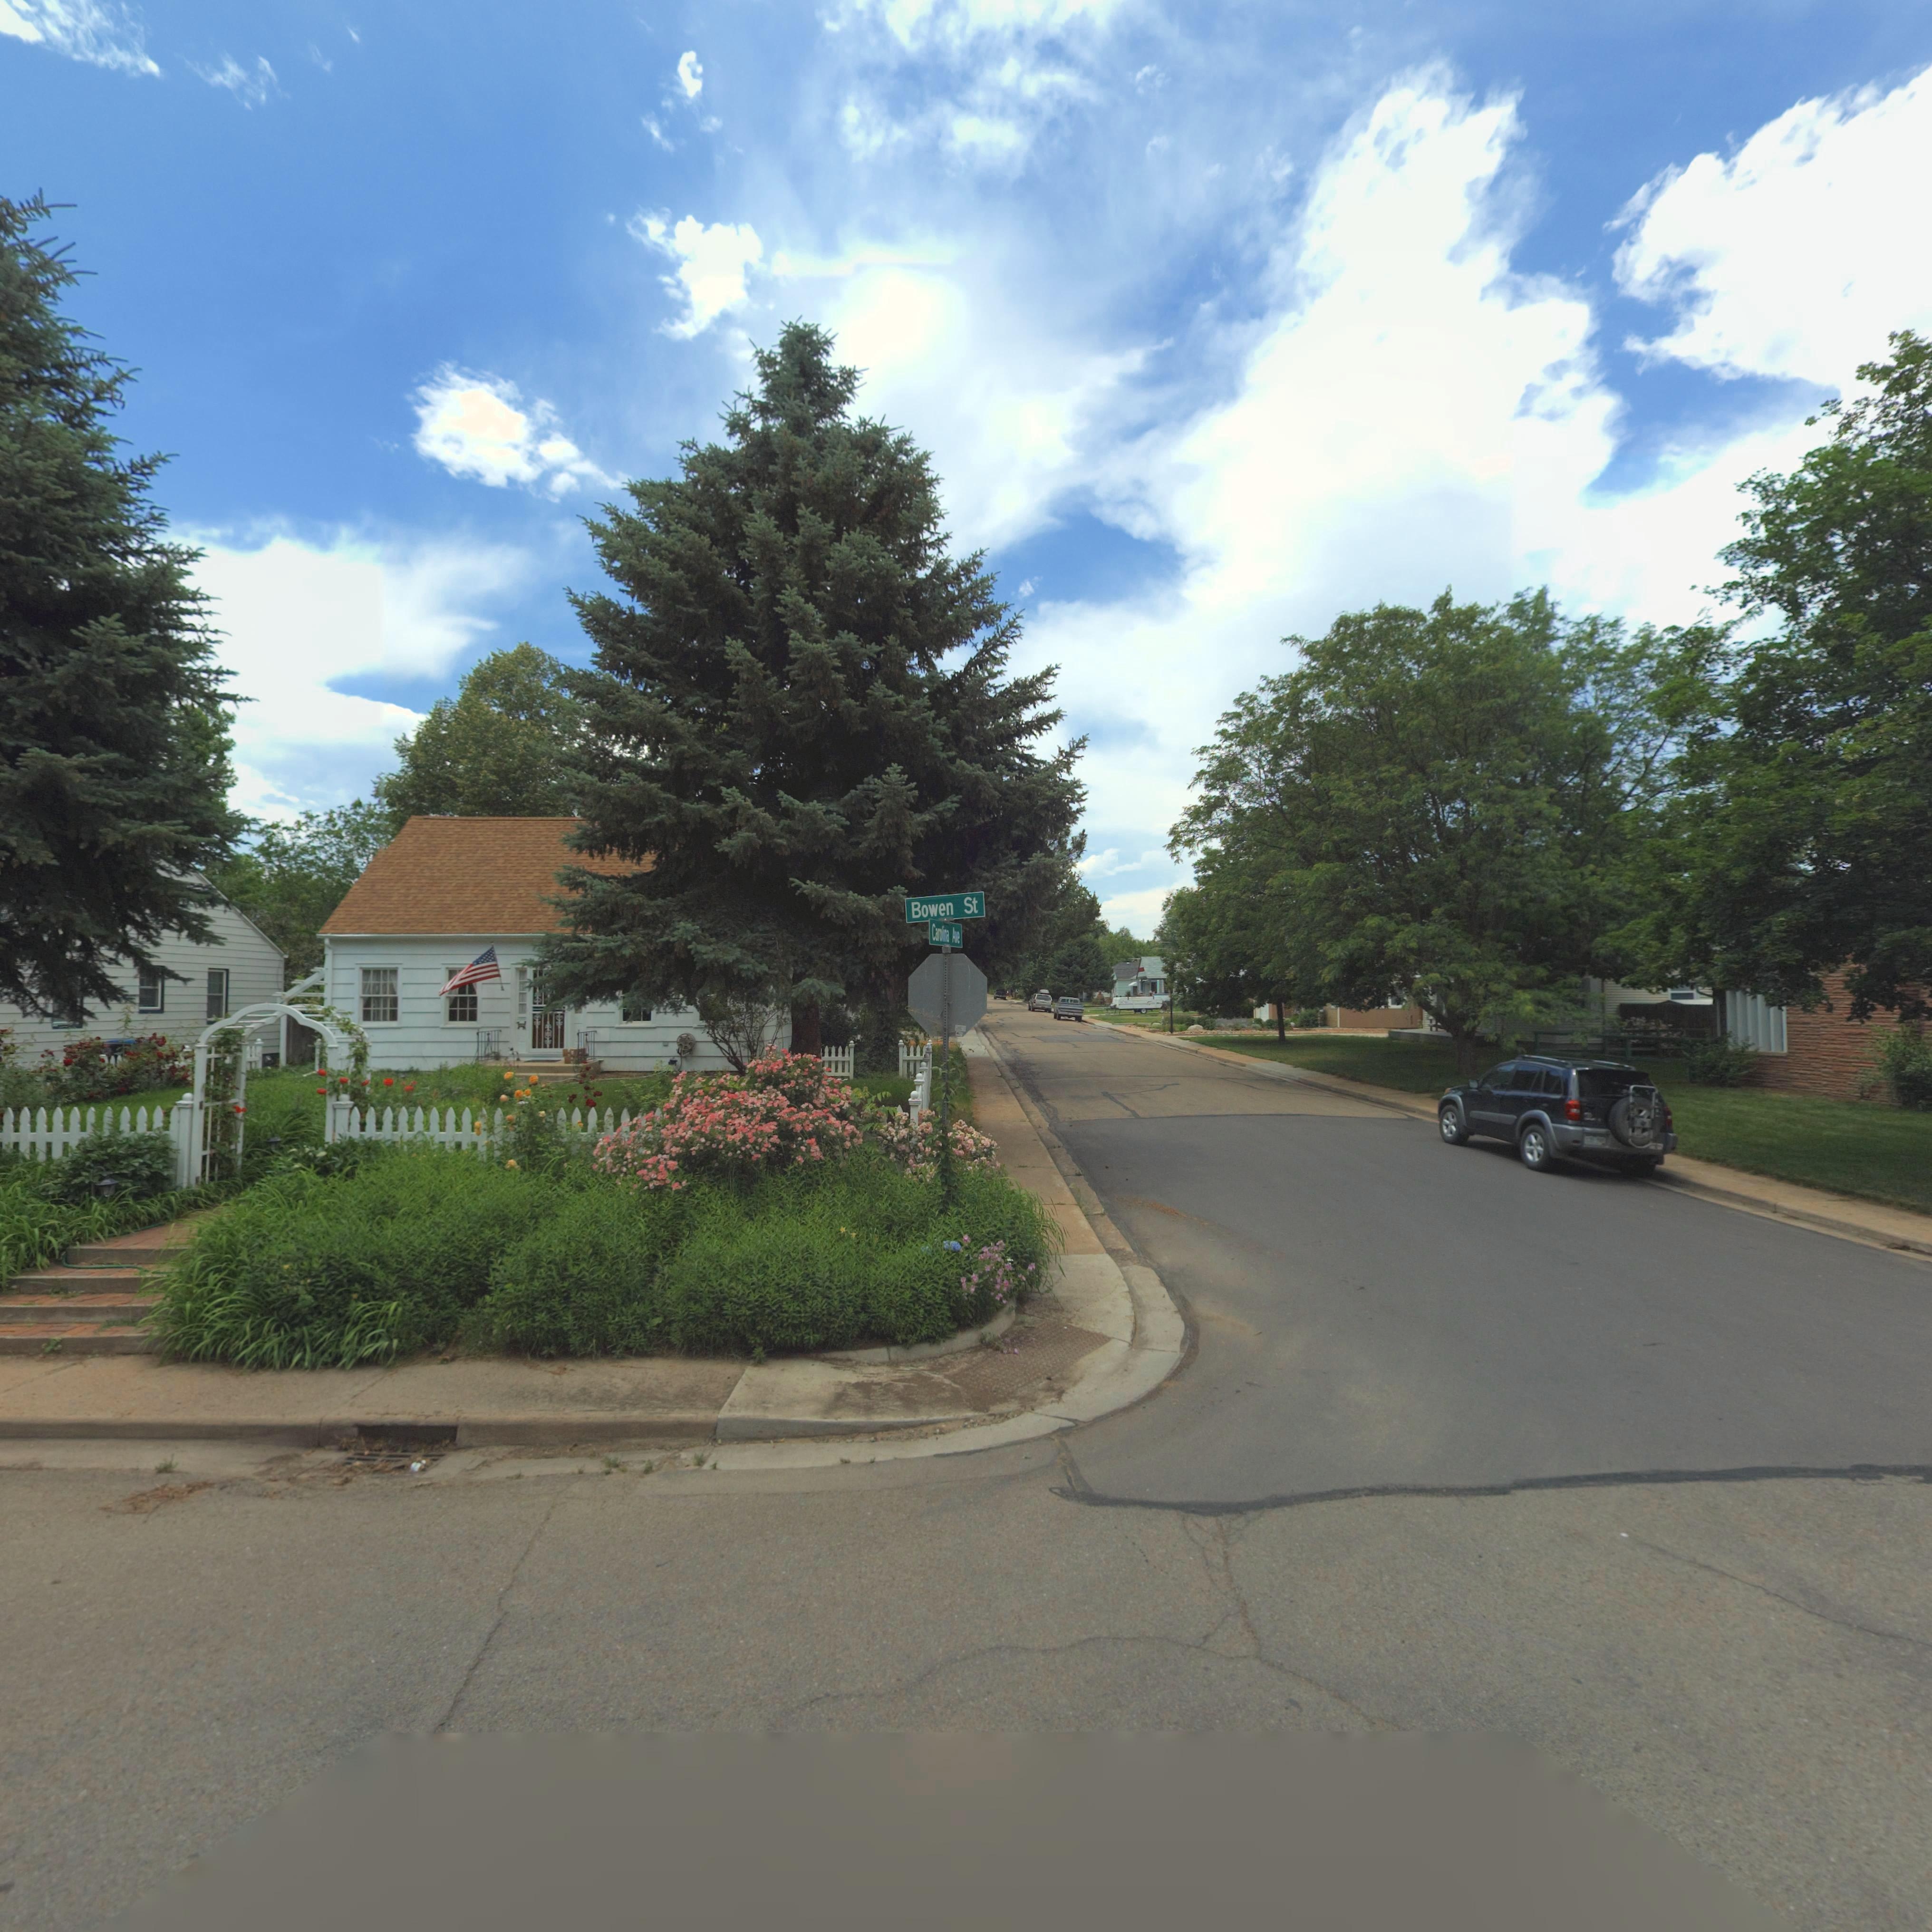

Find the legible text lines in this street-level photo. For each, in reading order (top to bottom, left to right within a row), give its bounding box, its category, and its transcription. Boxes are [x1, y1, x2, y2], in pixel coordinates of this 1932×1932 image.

[911, 896, 978, 918] StreetName: Bowen St
[931, 923, 960, 944] StreetName: Carolina Ave